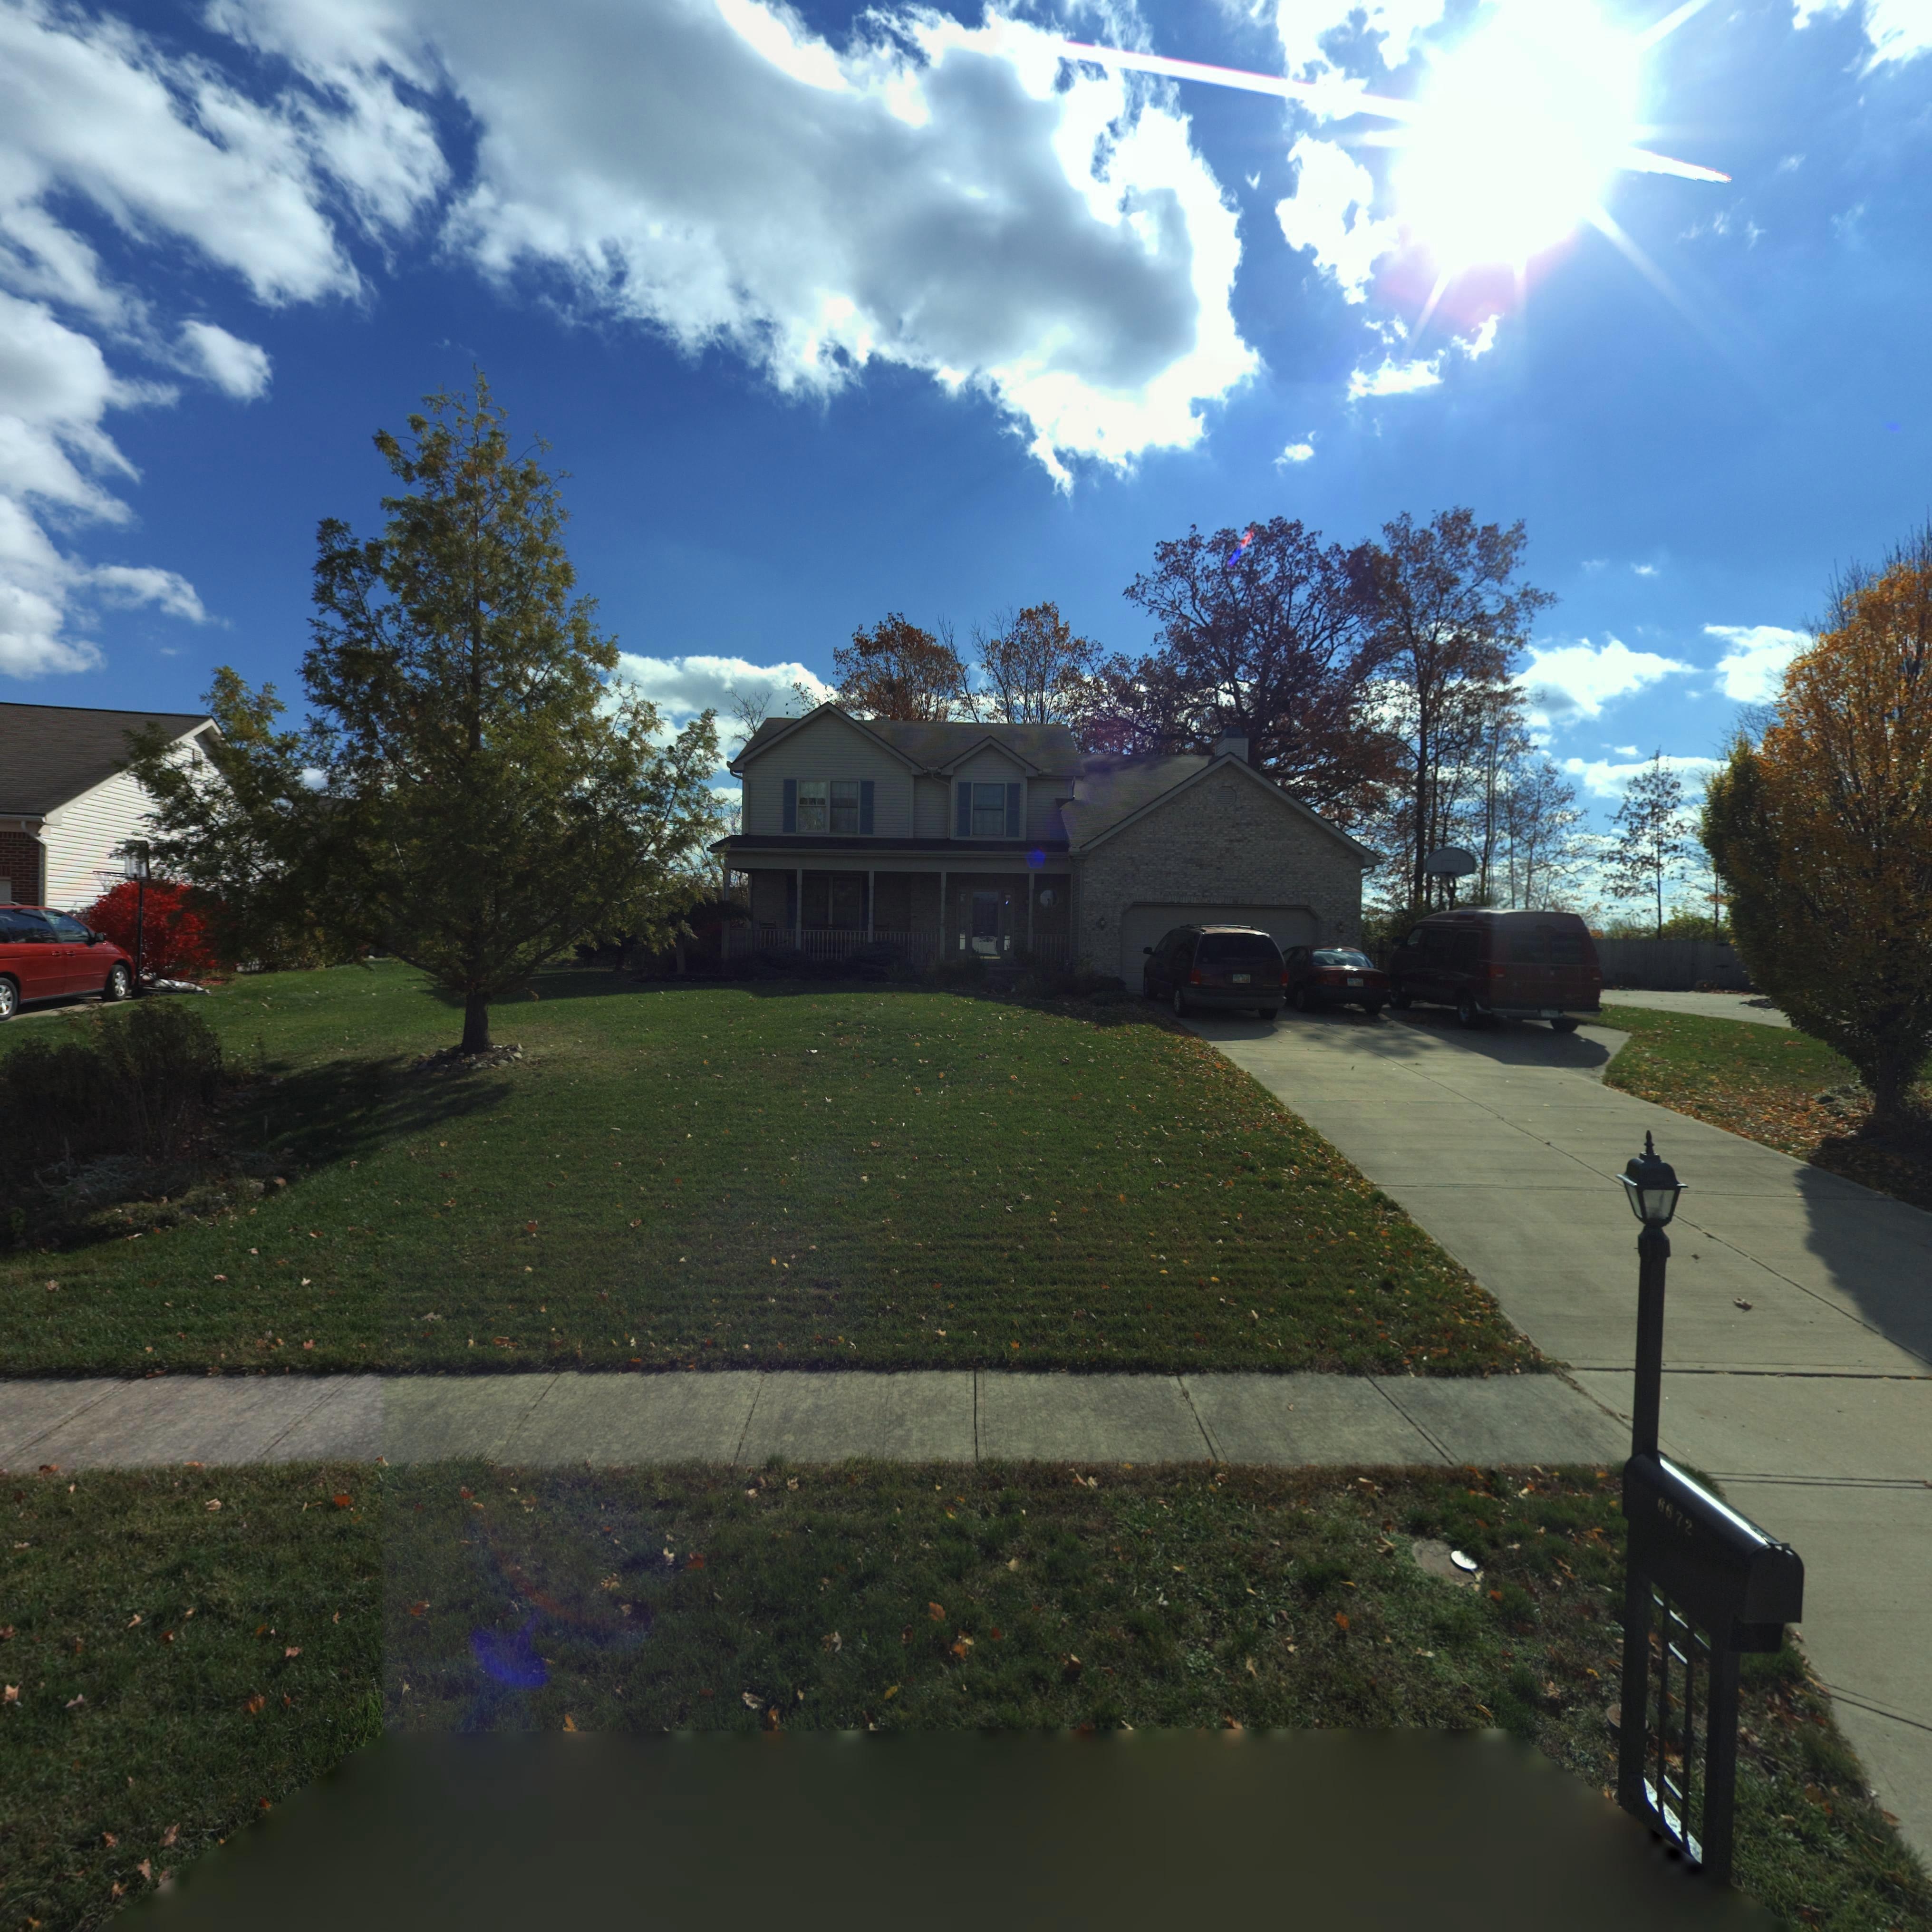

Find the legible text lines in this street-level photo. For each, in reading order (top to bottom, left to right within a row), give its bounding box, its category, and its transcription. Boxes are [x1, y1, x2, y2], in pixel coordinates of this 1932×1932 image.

[1656, 1495, 1696, 1538] StreetNumber: 6672